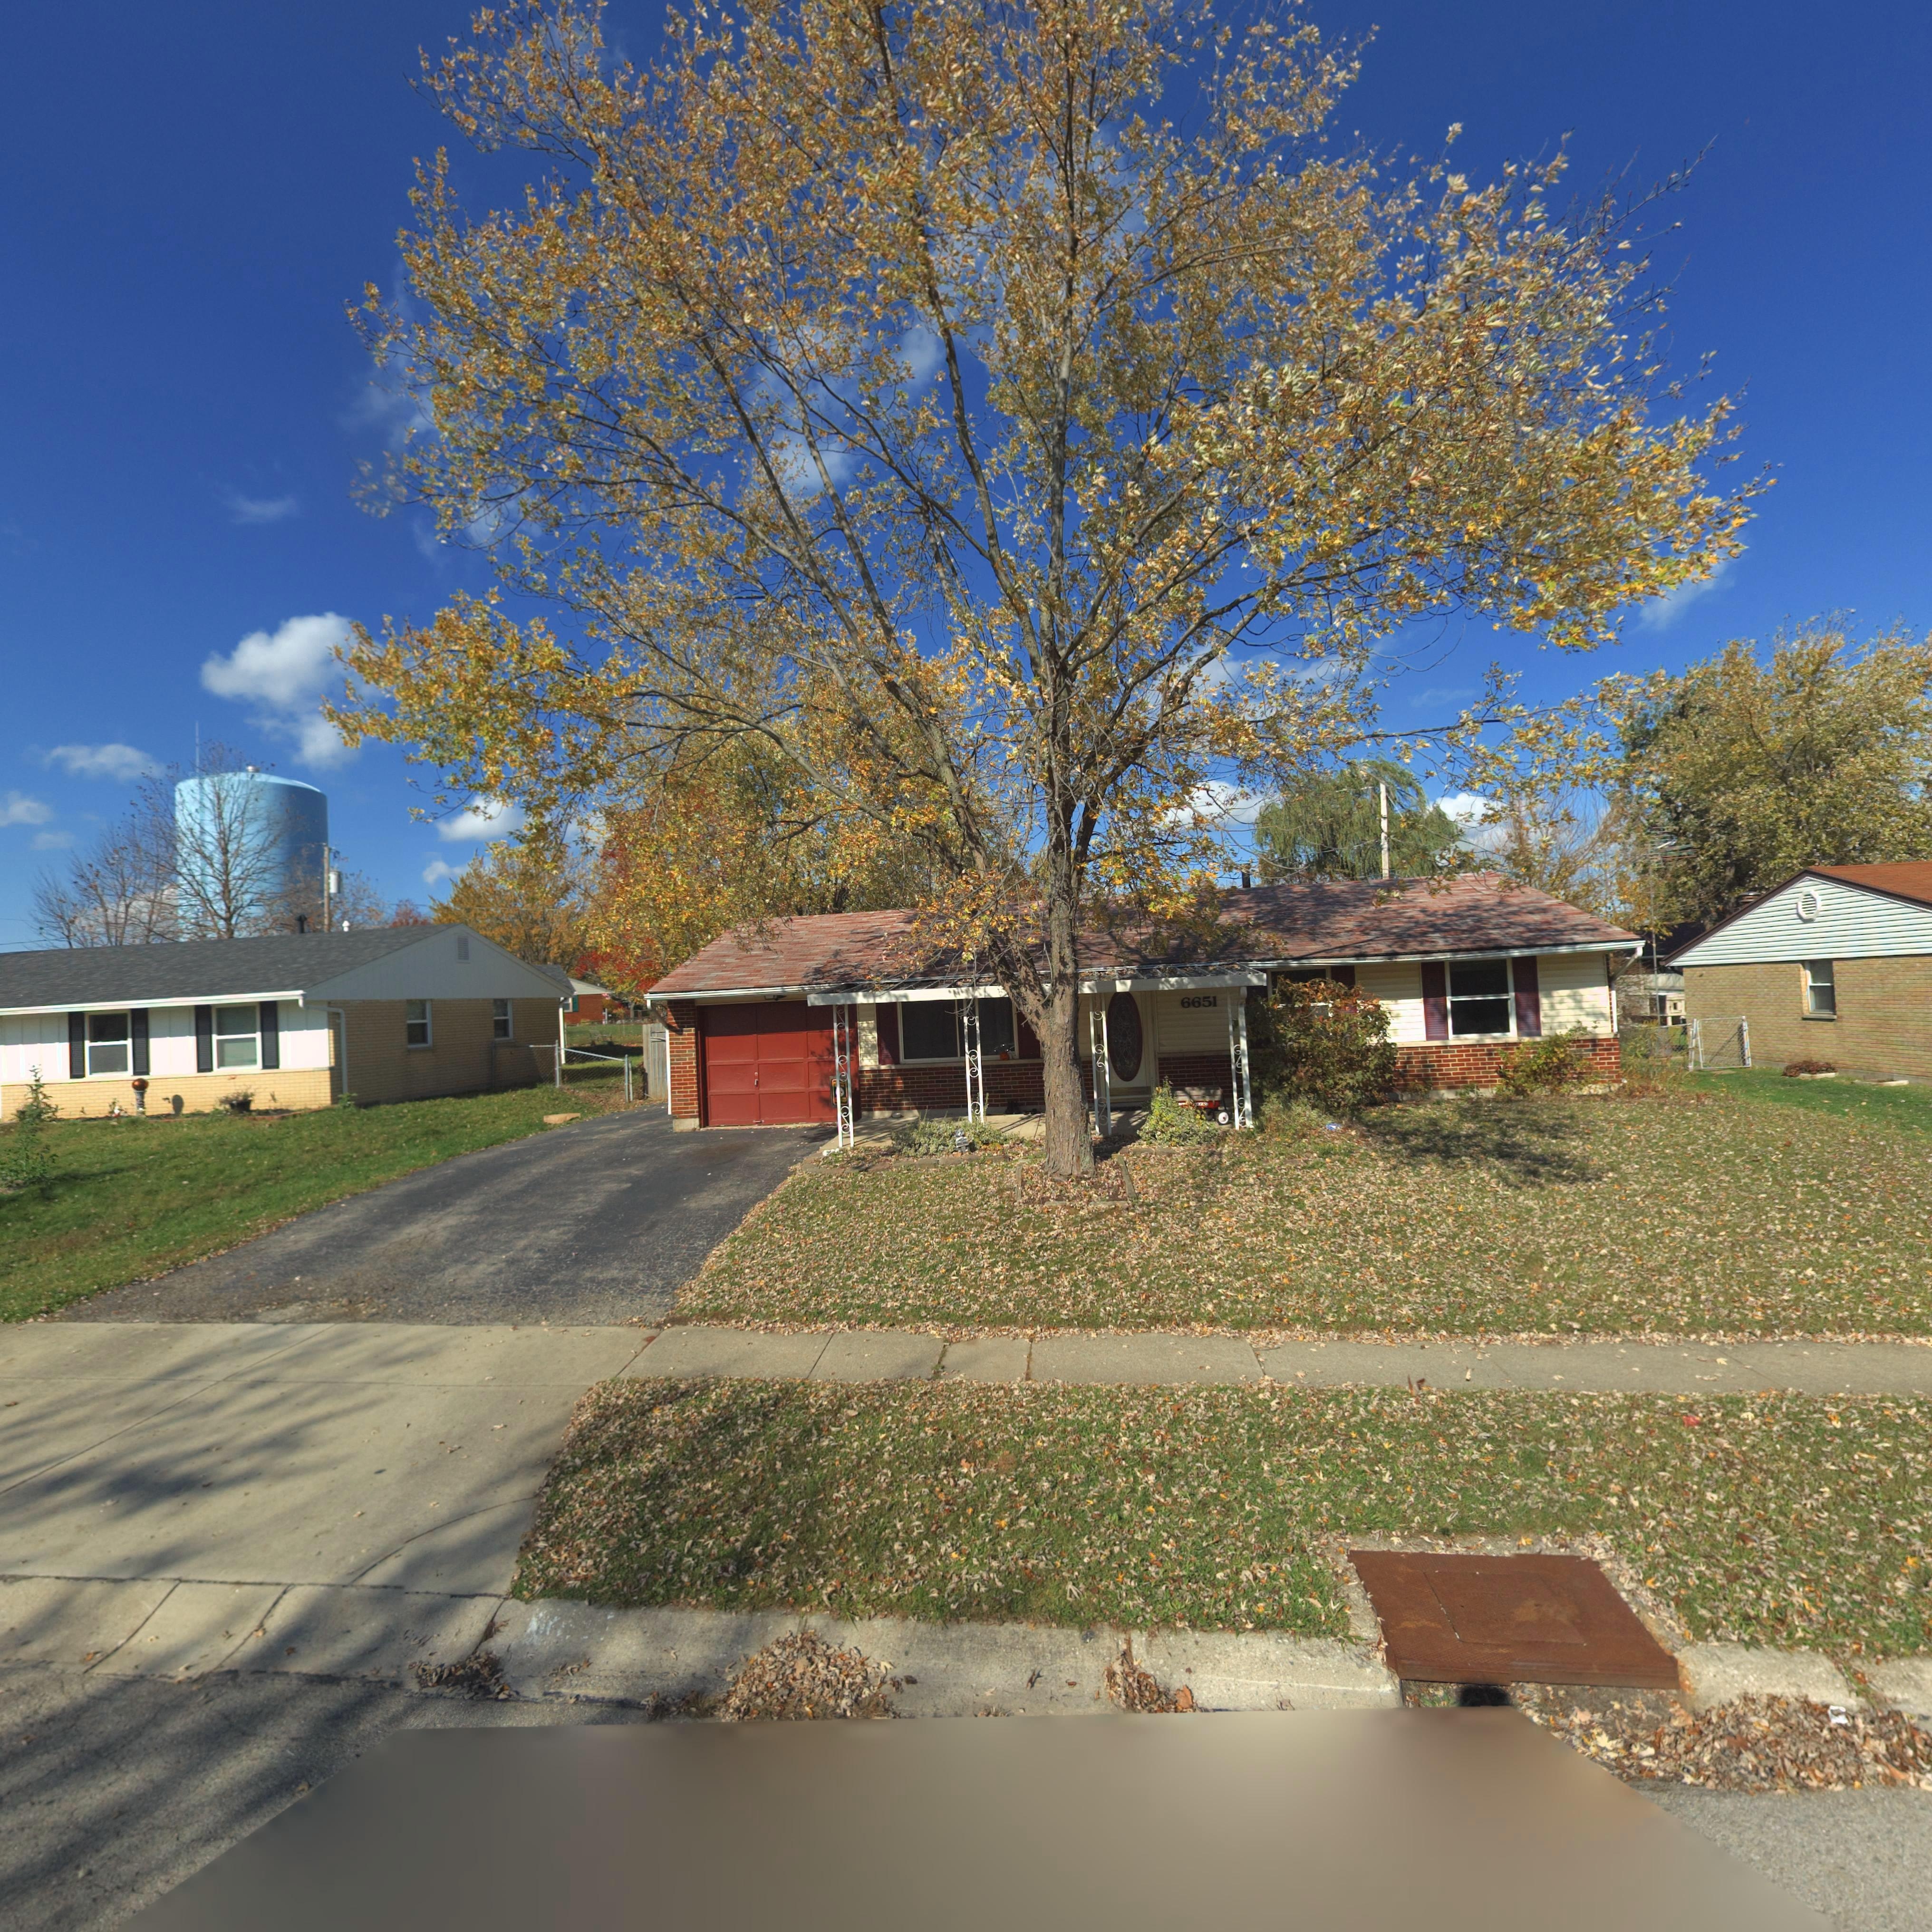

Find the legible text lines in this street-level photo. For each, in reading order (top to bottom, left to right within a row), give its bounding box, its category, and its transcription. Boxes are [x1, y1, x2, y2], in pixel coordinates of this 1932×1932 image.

[1180, 995, 1217, 1009] StreetNumber: 6651